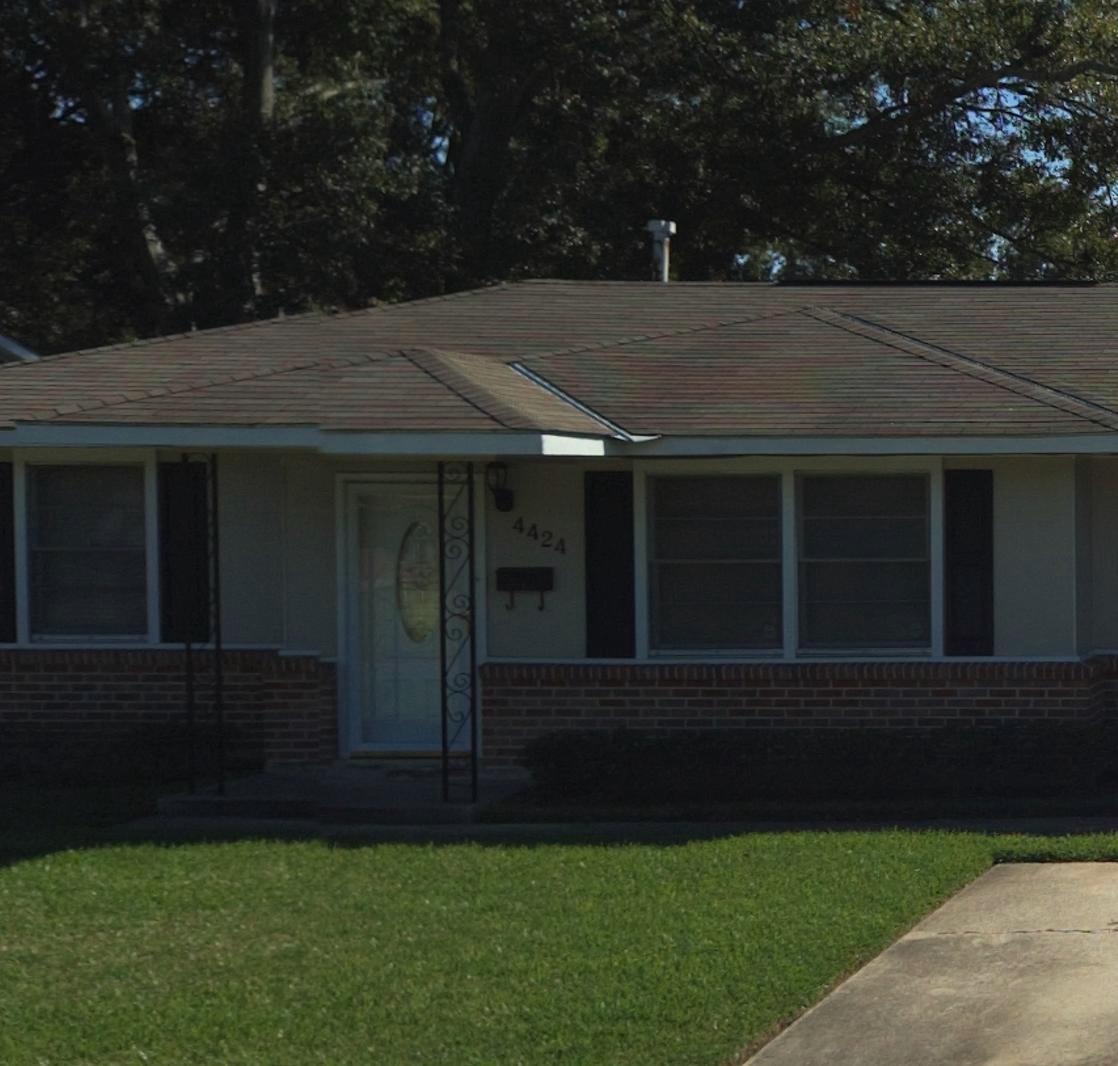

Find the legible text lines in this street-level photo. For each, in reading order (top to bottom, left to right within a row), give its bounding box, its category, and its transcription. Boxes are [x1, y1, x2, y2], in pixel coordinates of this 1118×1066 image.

[511, 515, 566, 555] StreetNumber: 4424